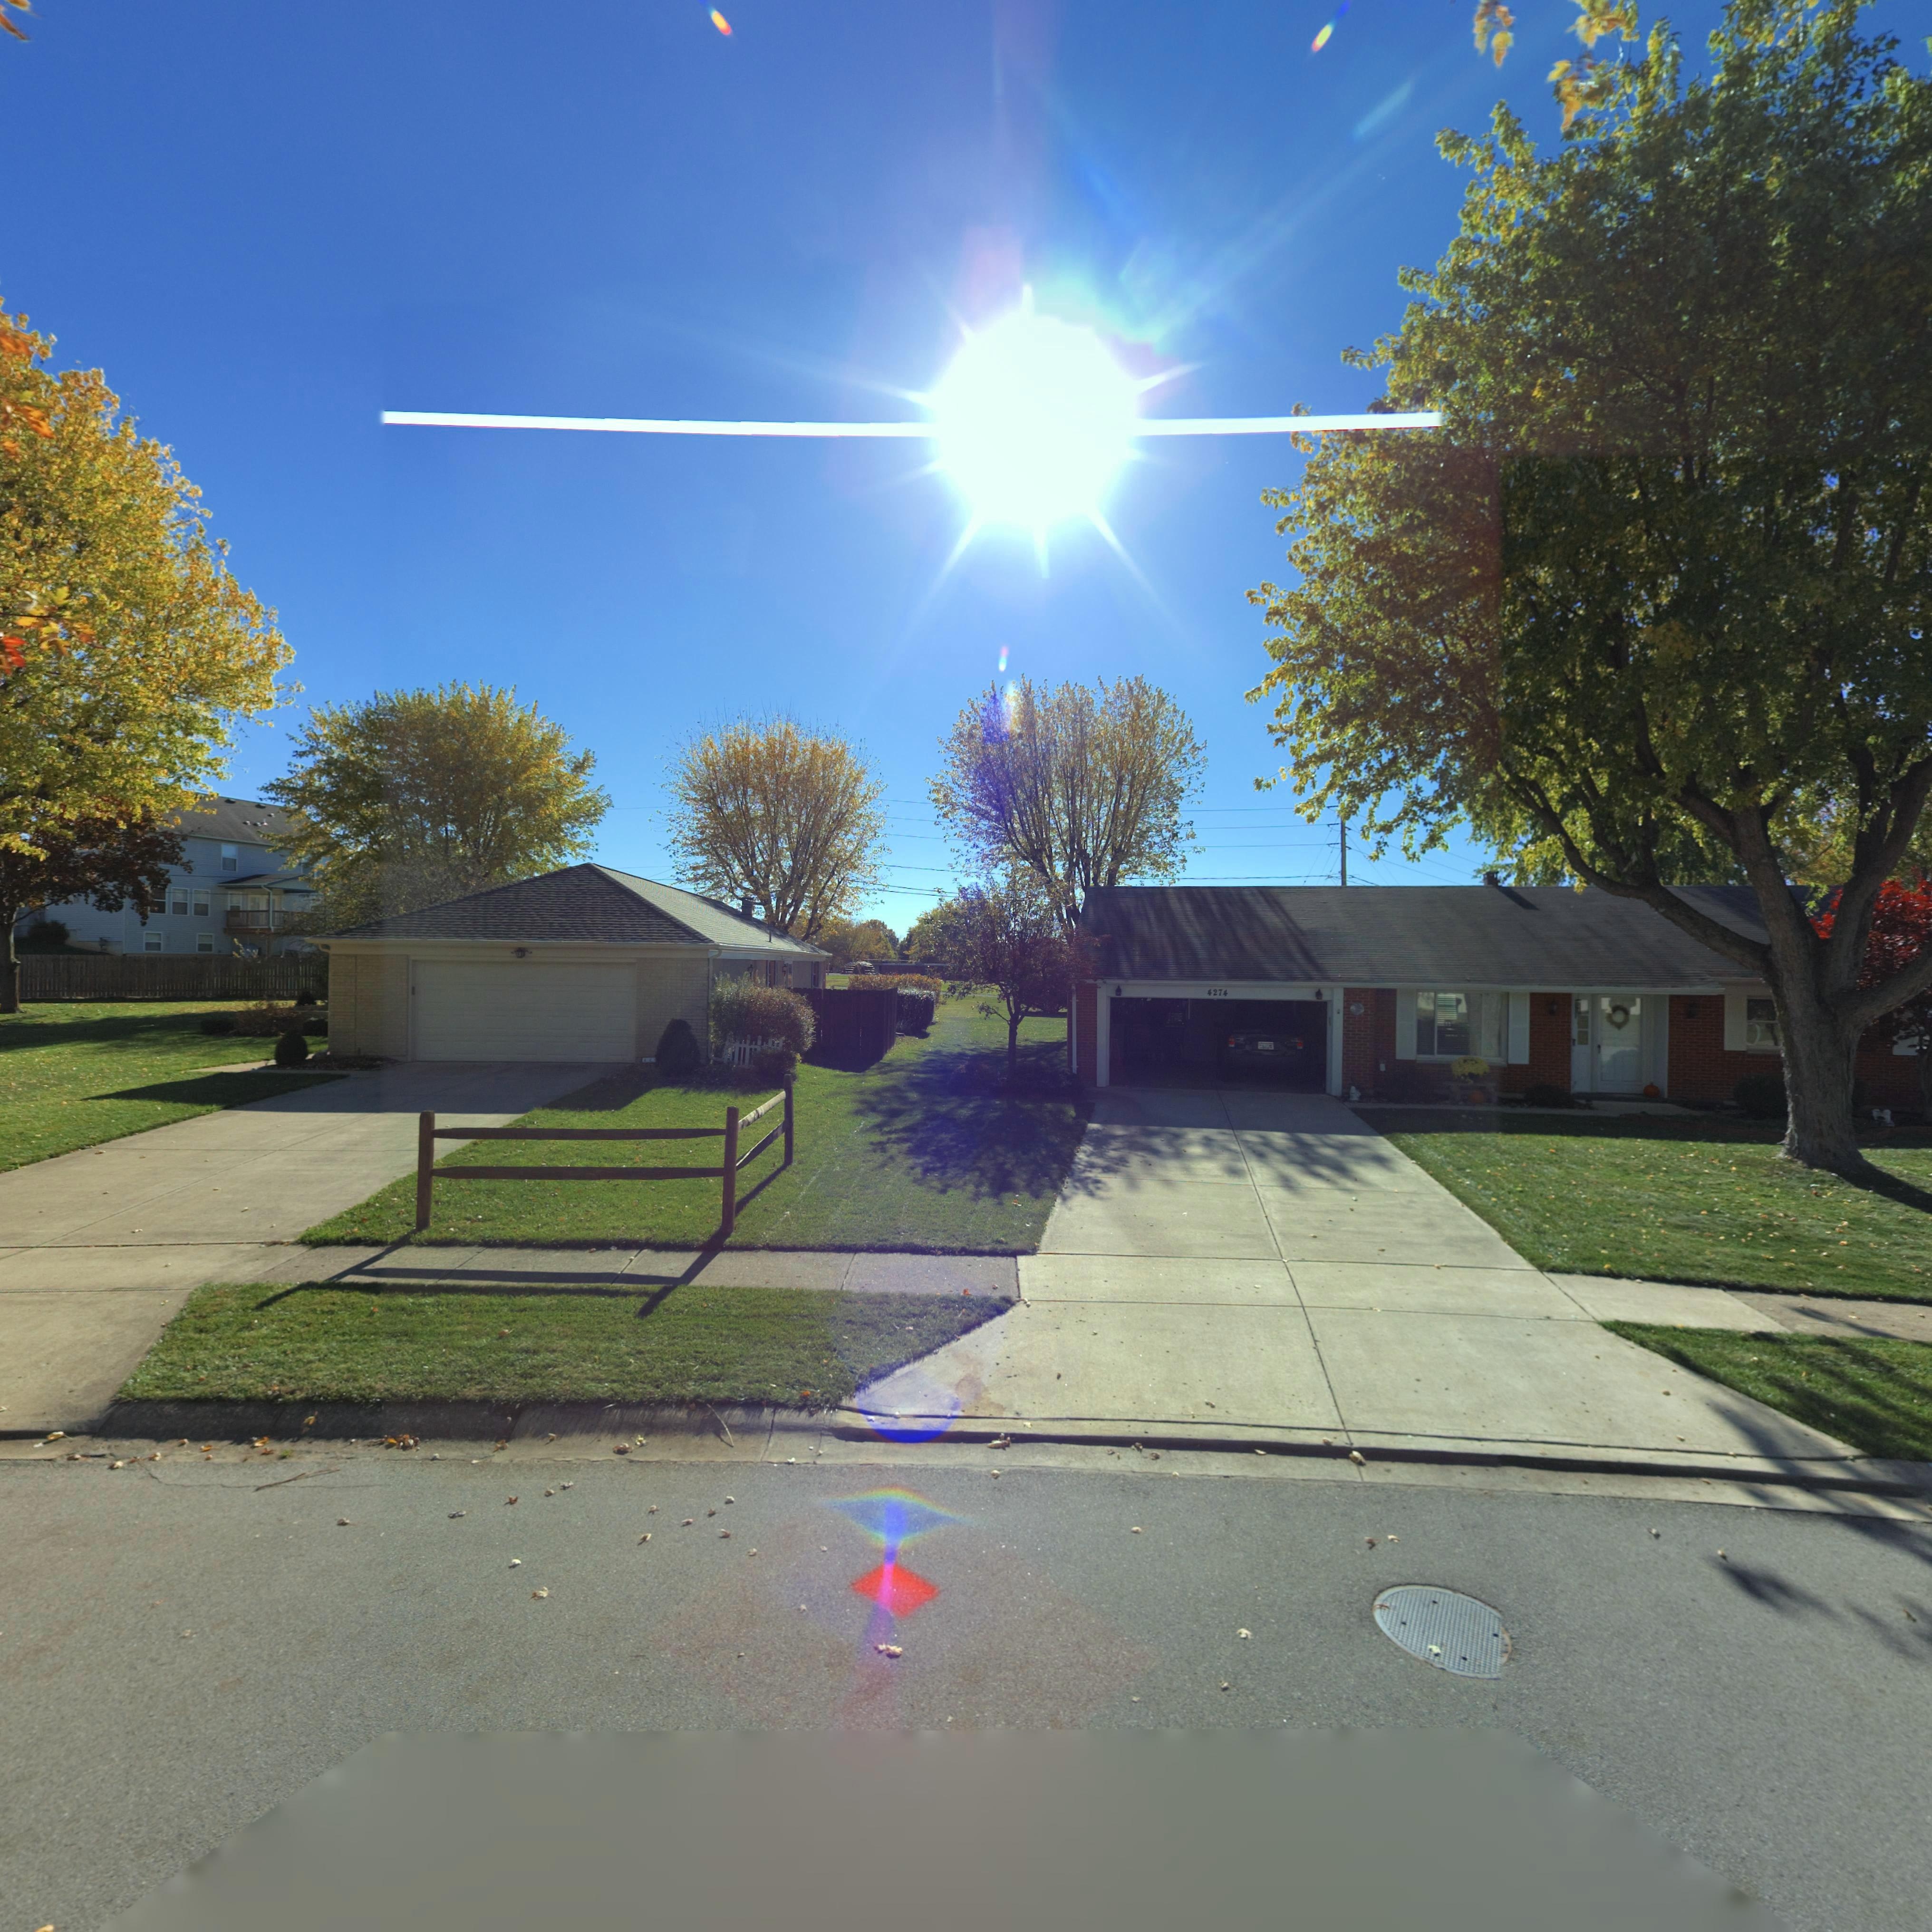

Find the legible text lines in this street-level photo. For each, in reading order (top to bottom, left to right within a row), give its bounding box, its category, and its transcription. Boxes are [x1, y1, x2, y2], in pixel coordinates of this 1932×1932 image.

[1206, 987, 1229, 997] StreetNumber: 4274